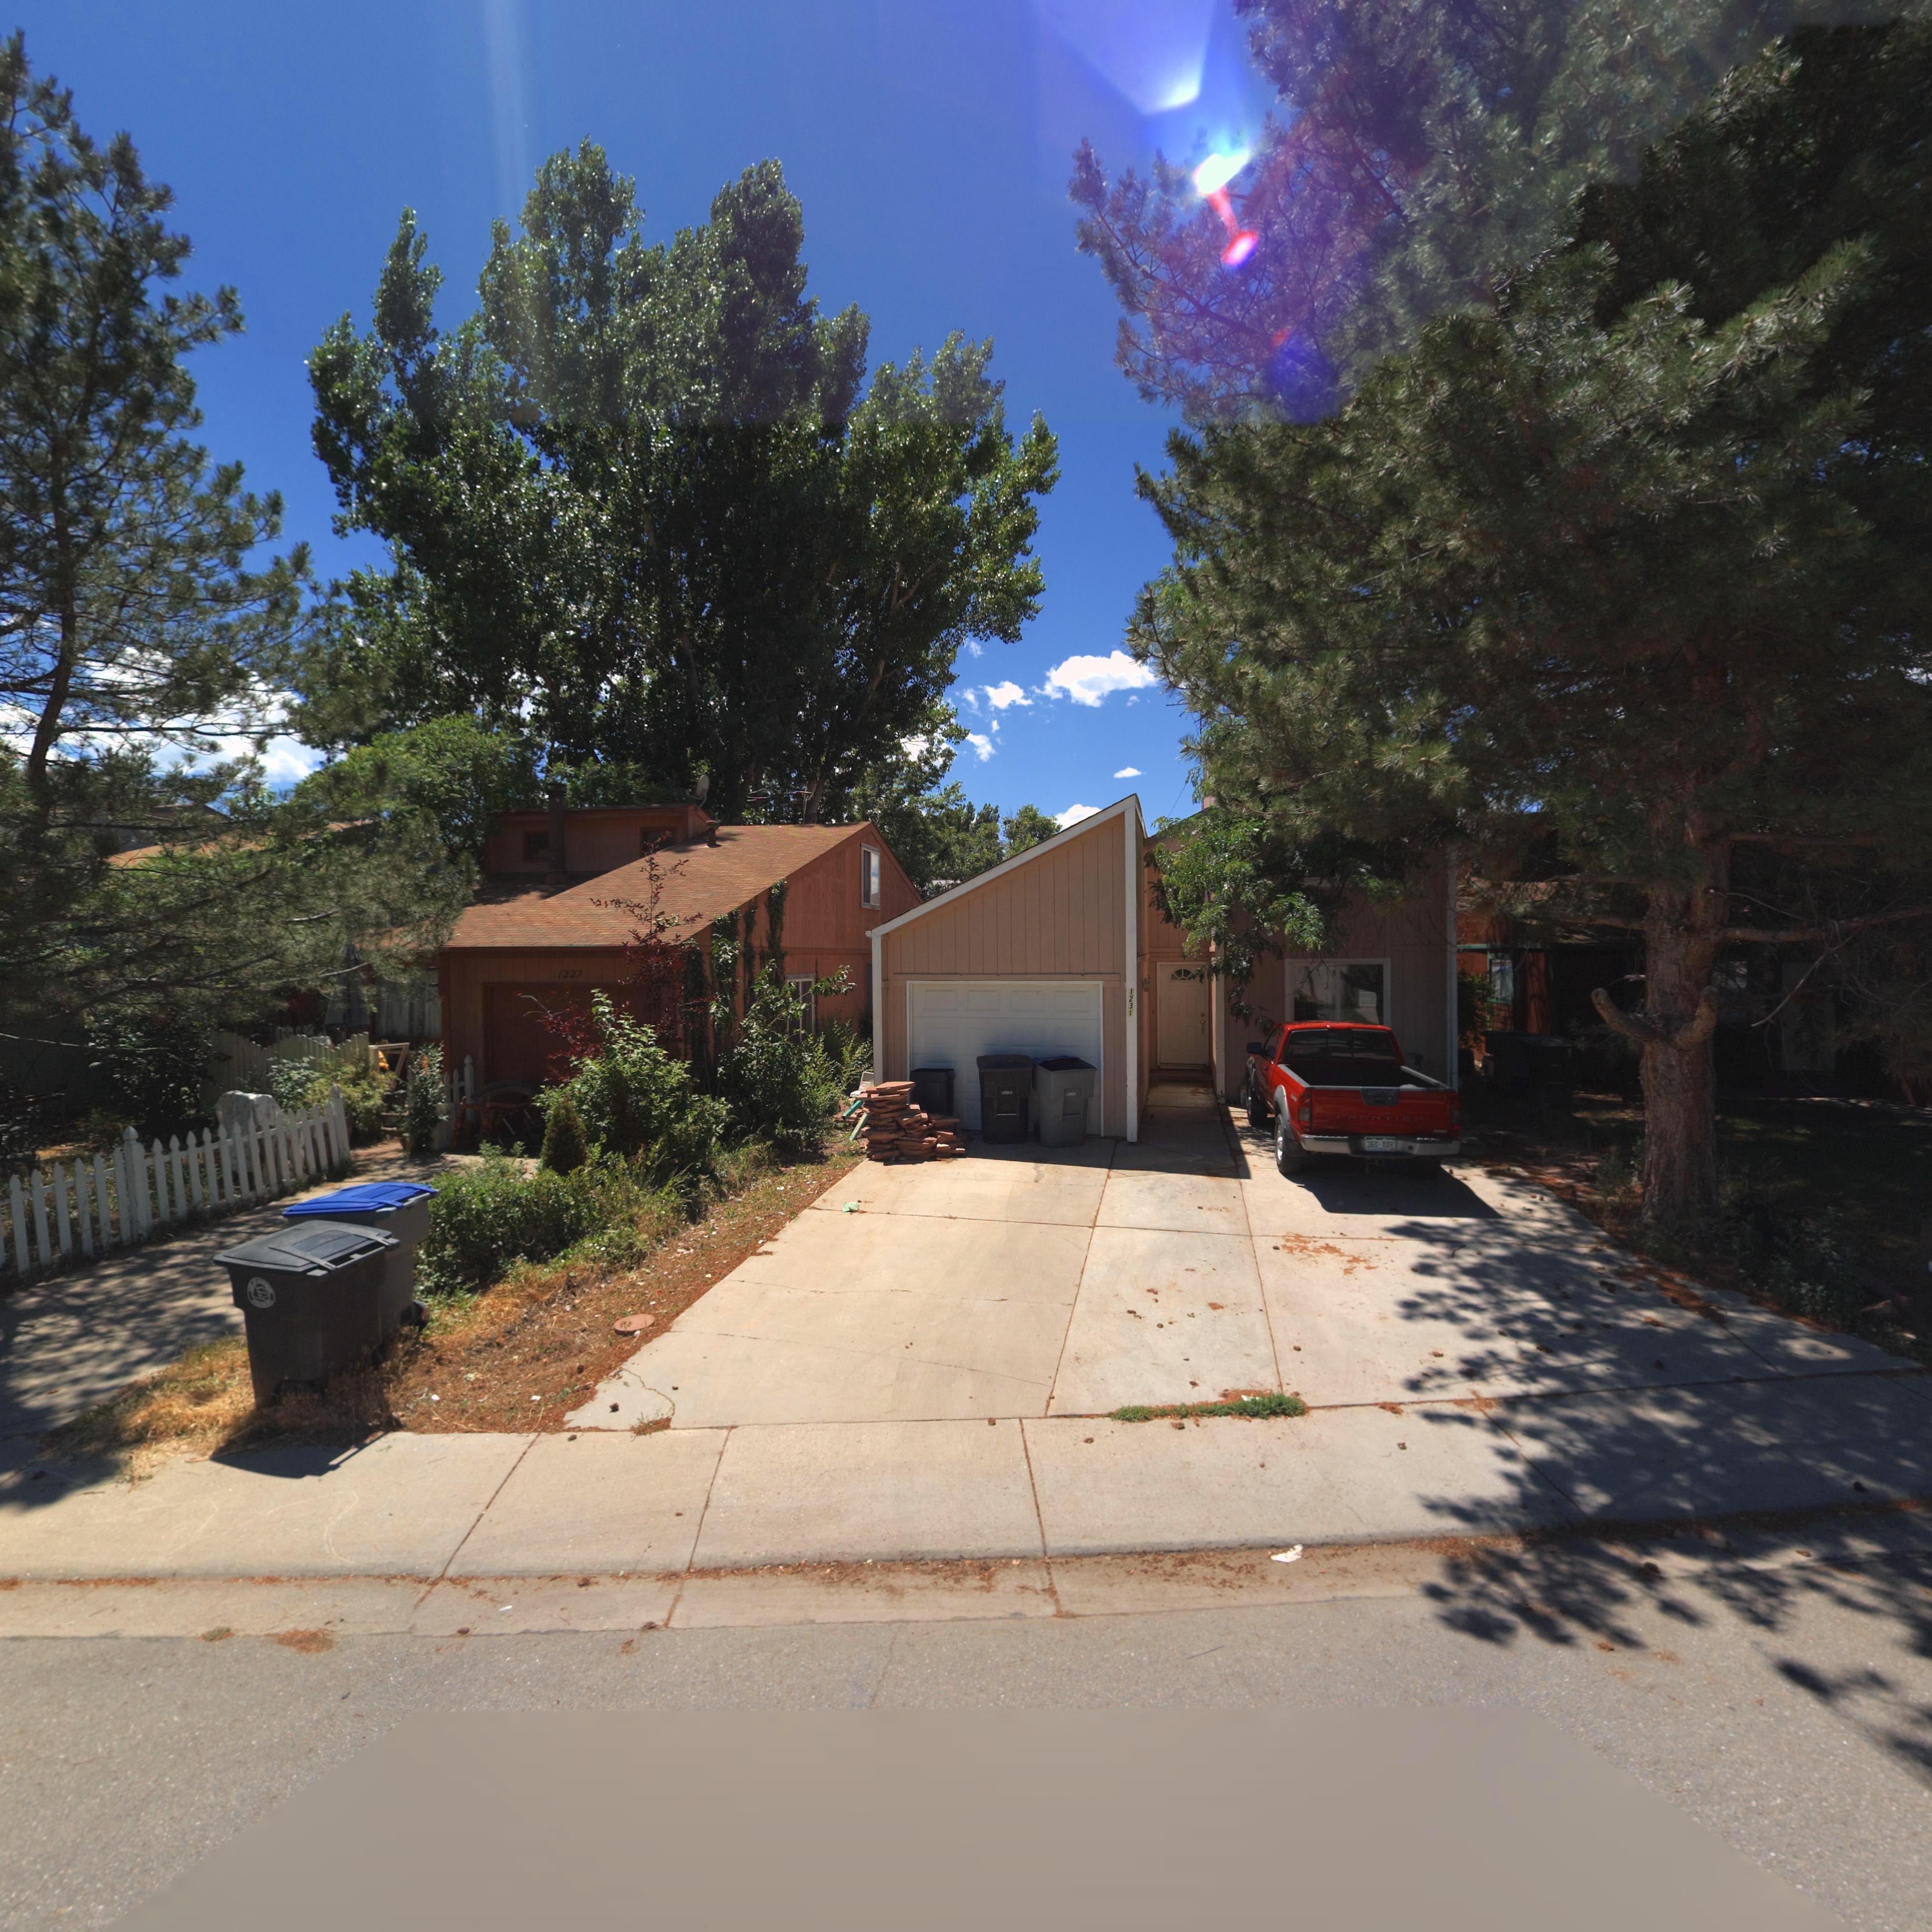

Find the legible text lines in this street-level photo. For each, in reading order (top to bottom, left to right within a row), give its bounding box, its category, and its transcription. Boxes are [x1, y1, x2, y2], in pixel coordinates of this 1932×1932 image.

[557, 969, 584, 979] StreetNumber: 1227
[1127, 987, 1134, 1017] StreetNumber: 1231